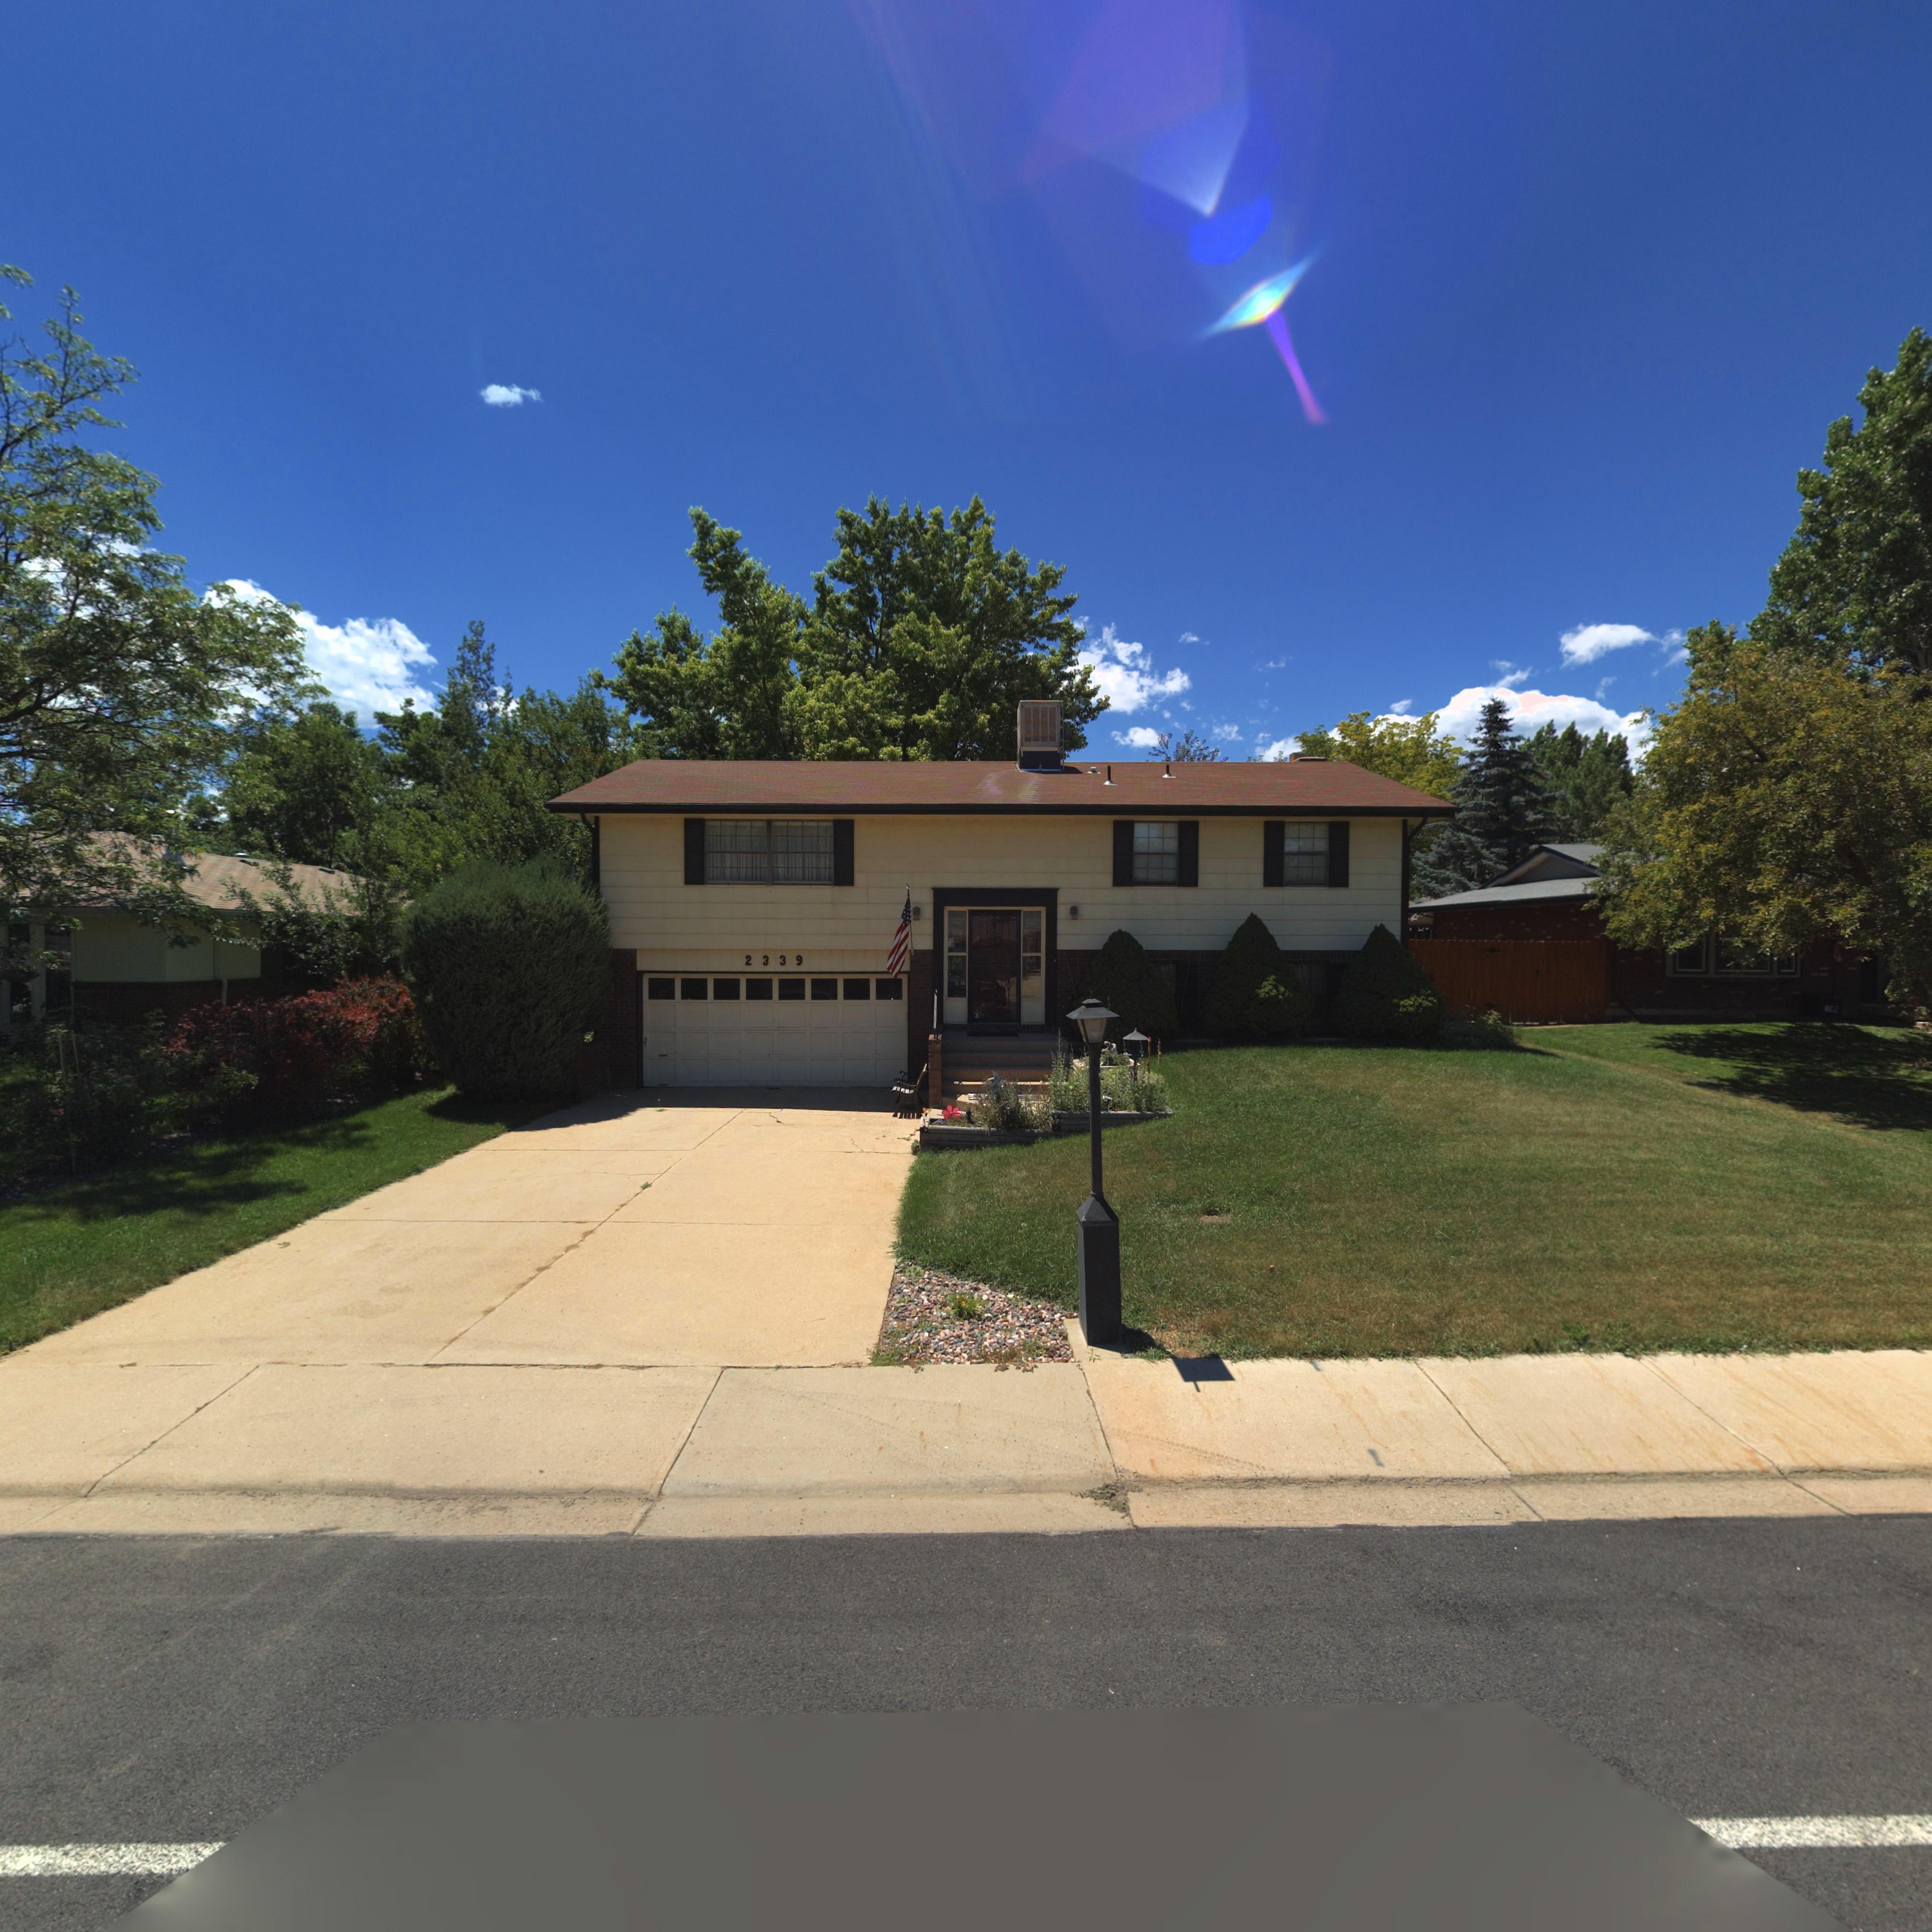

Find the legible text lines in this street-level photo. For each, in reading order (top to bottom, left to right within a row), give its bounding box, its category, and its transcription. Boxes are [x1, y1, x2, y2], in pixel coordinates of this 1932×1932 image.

[745, 955, 803, 966] StreetNumber: 2339